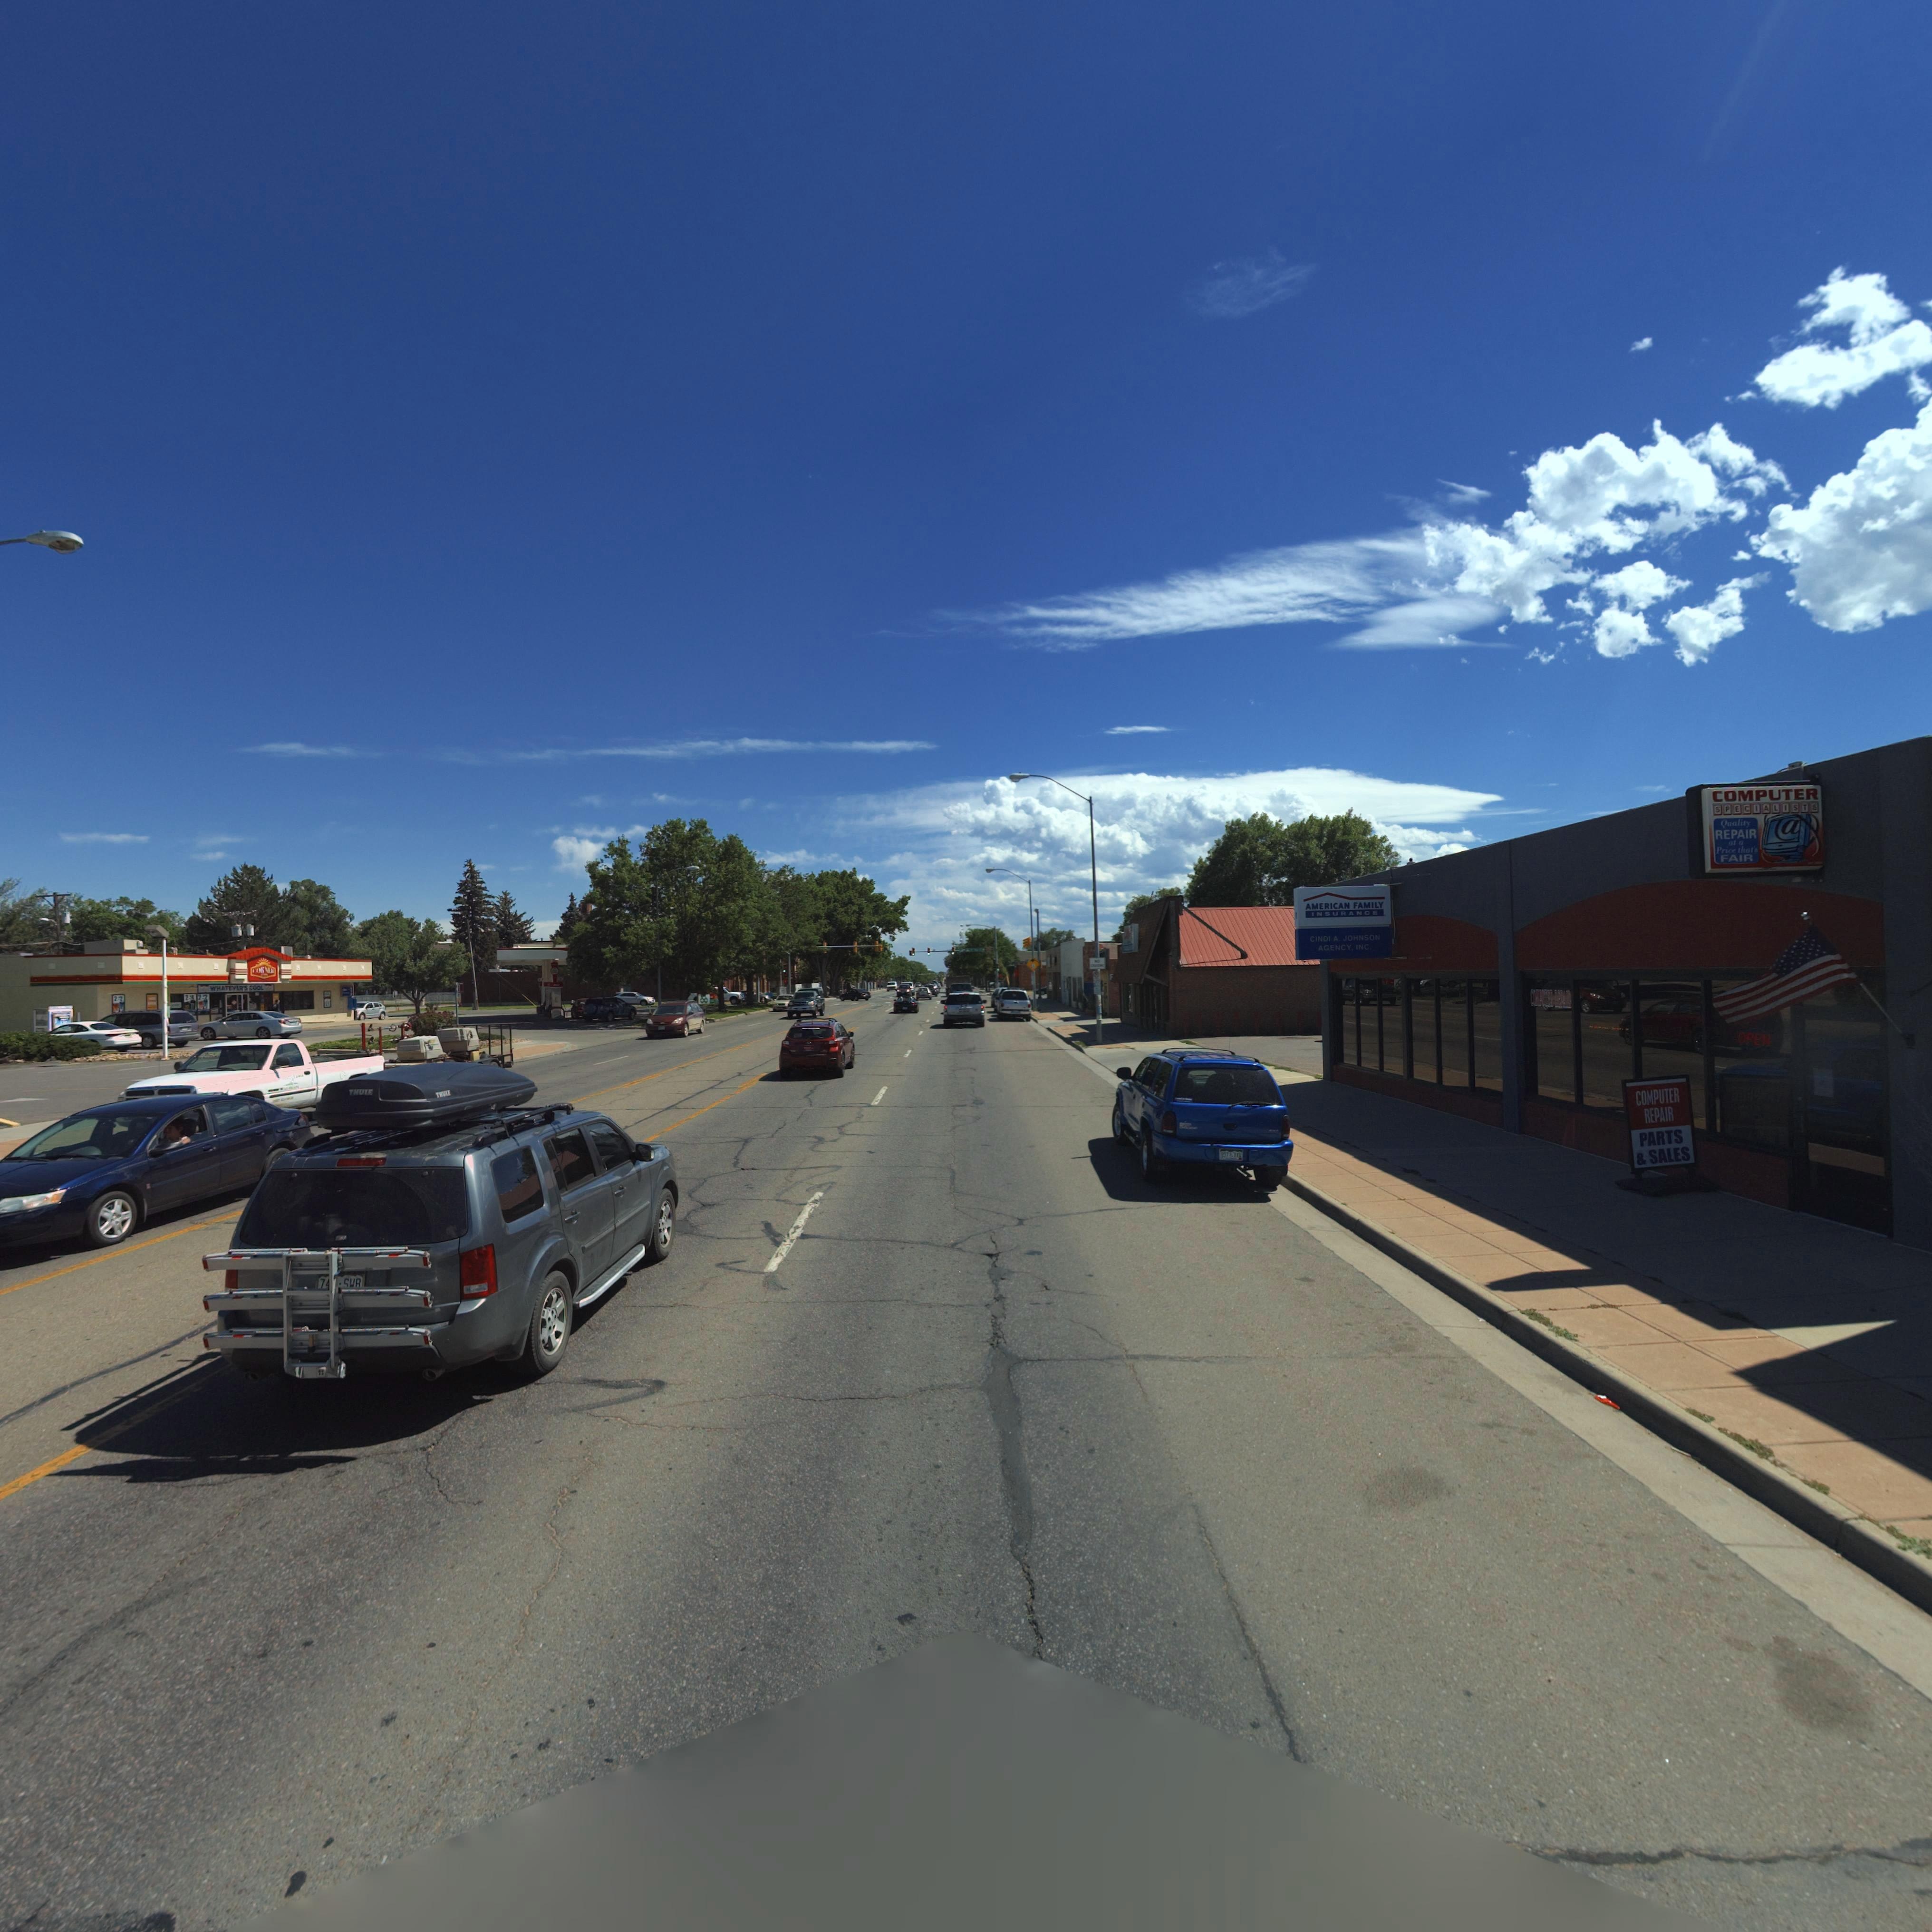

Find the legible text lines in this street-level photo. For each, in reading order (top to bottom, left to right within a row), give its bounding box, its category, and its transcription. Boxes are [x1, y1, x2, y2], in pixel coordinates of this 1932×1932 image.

[1712, 788, 1819, 802] BusinessName: COMPUTER
[1715, 803, 1817, 813] BusinessName: SPECIALISTS
[1305, 901, 1383, 910] BusinessName: AMERICAN FAMILY
[1311, 910, 1377, 916] BusinessName: INSURANCE
[1310, 934, 1380, 942] BusinessName: CINDI A. JOHNSON
[1317, 944, 1370, 951] BusinessName: AGENCY, INC
[252, 966, 274, 974] BusinessName: CORNER